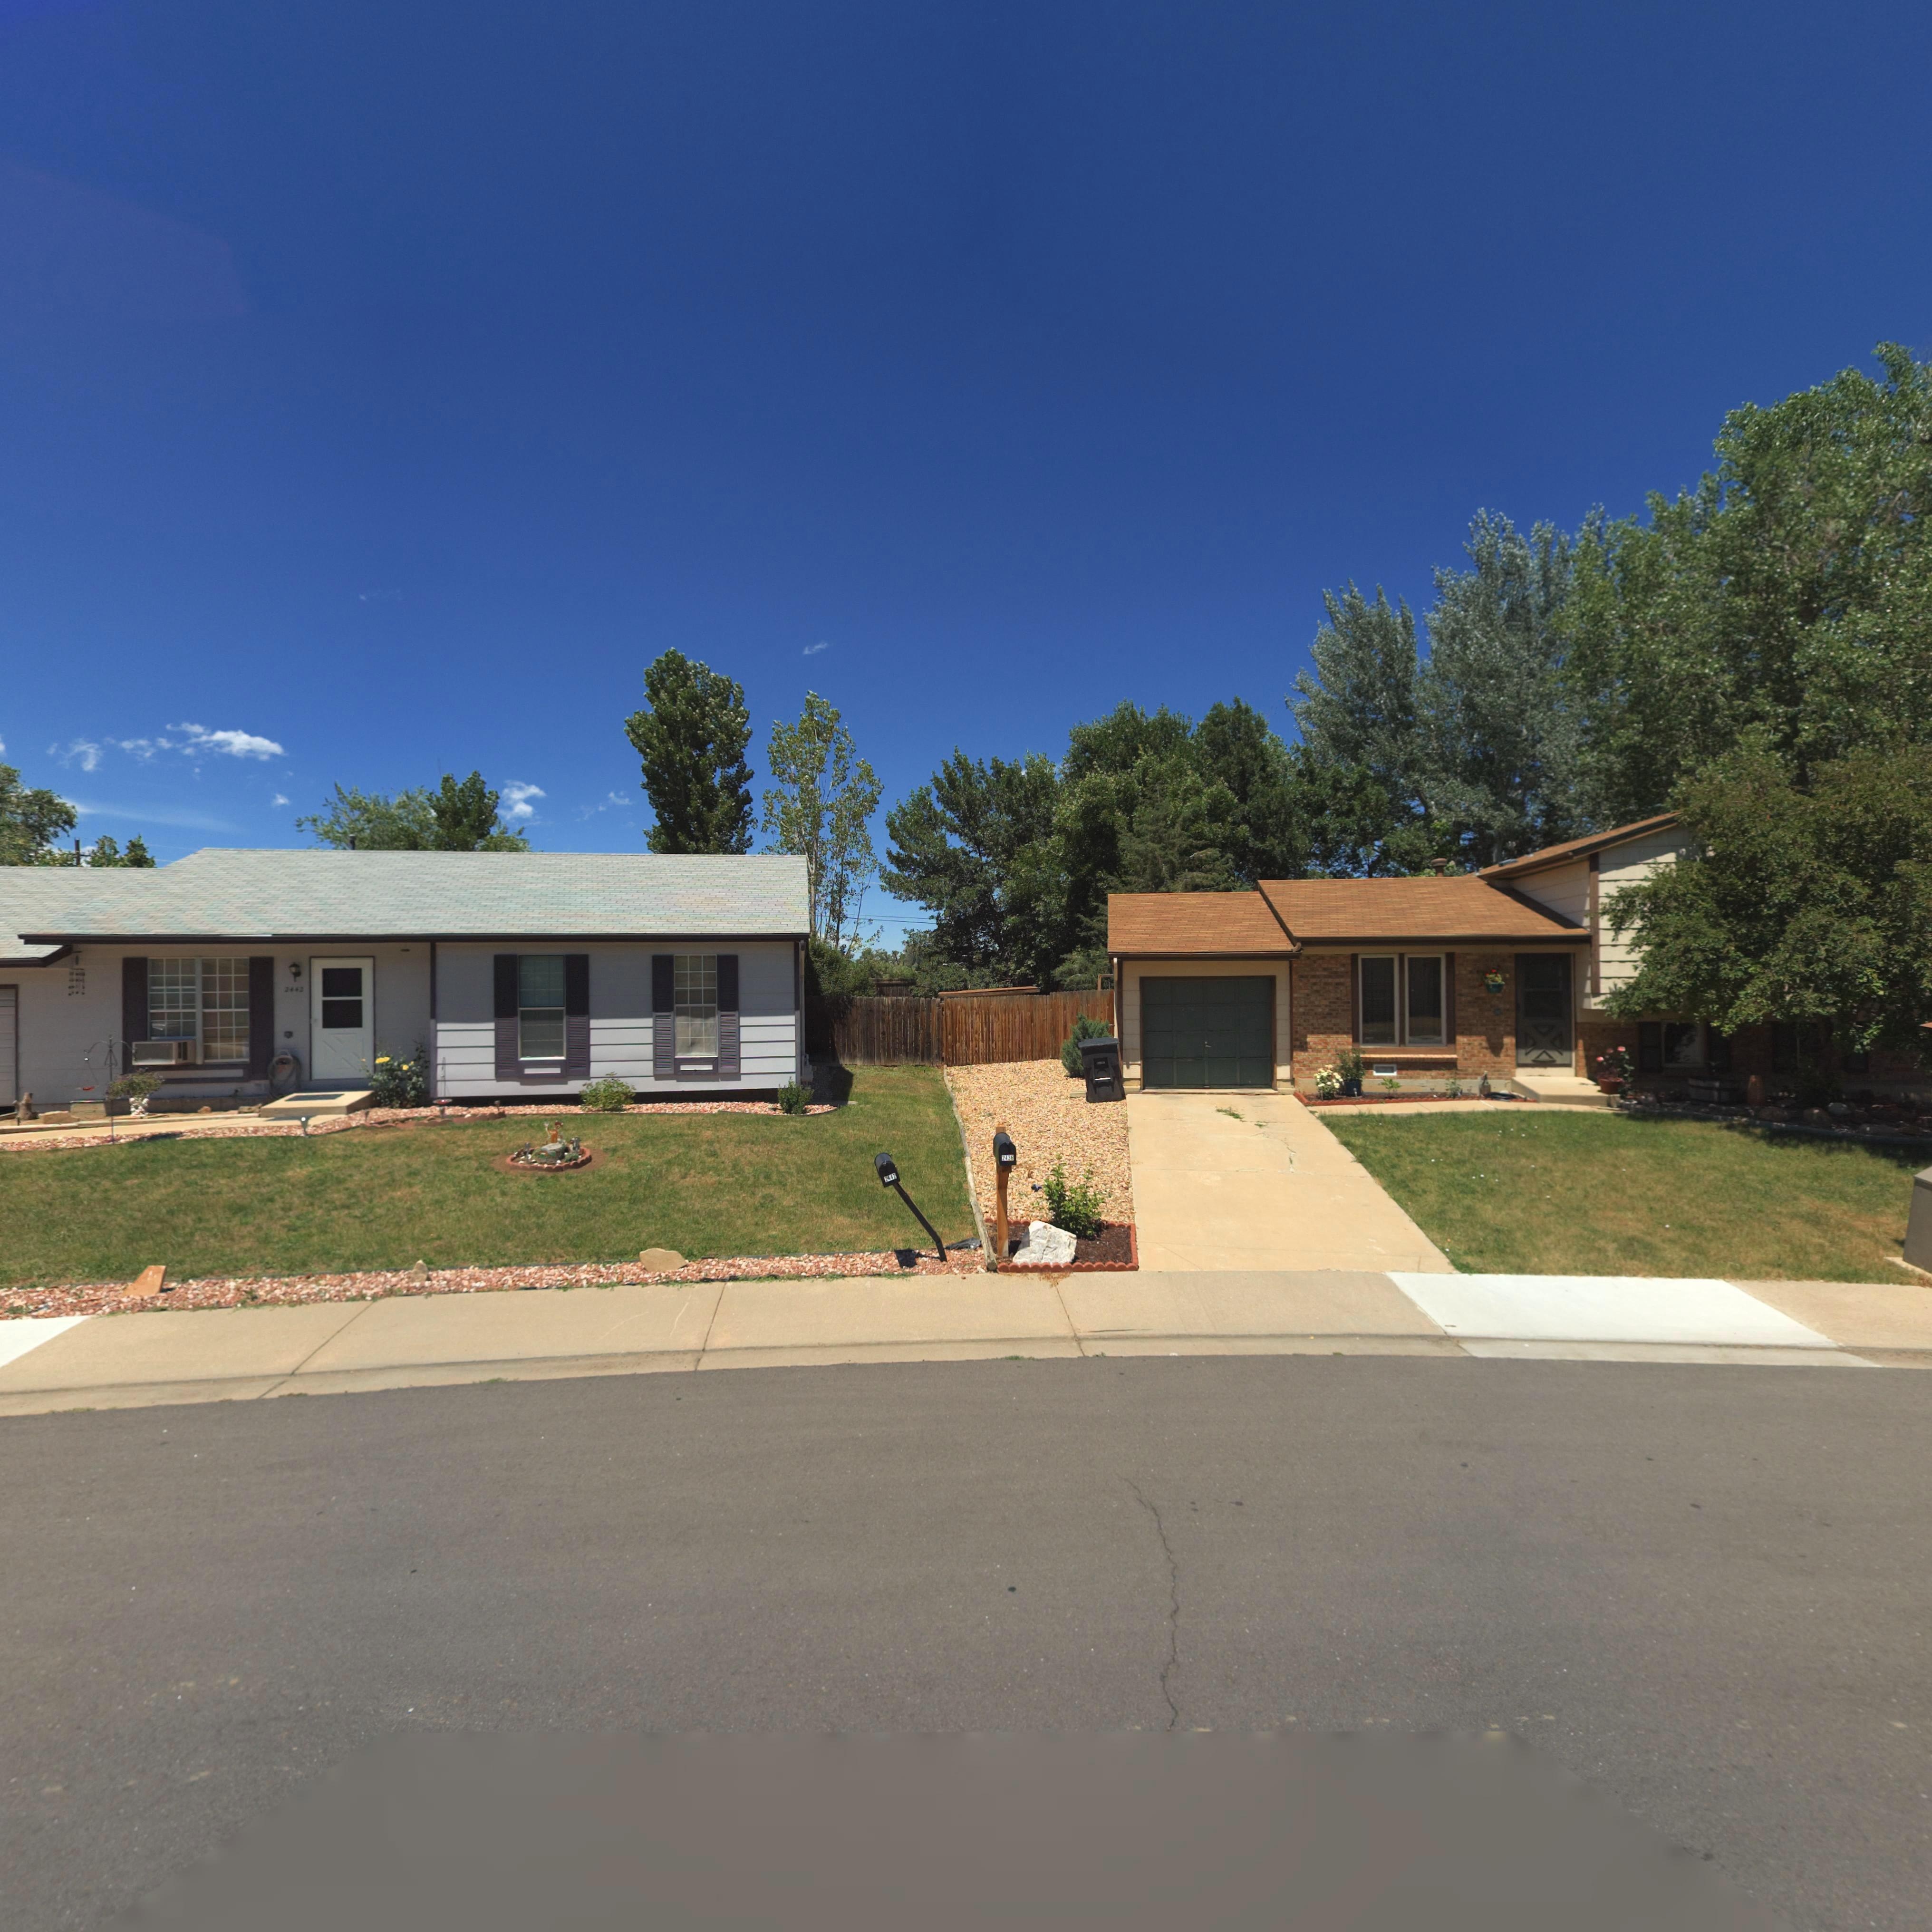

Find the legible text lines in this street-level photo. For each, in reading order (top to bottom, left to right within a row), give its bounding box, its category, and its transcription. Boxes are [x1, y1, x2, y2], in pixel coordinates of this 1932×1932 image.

[284, 986, 304, 992] StreetNumber: 2442
[1002, 1155, 1014, 1160] StreetNumber: 2436
[885, 1173, 895, 1182] StreetNumber: 2447